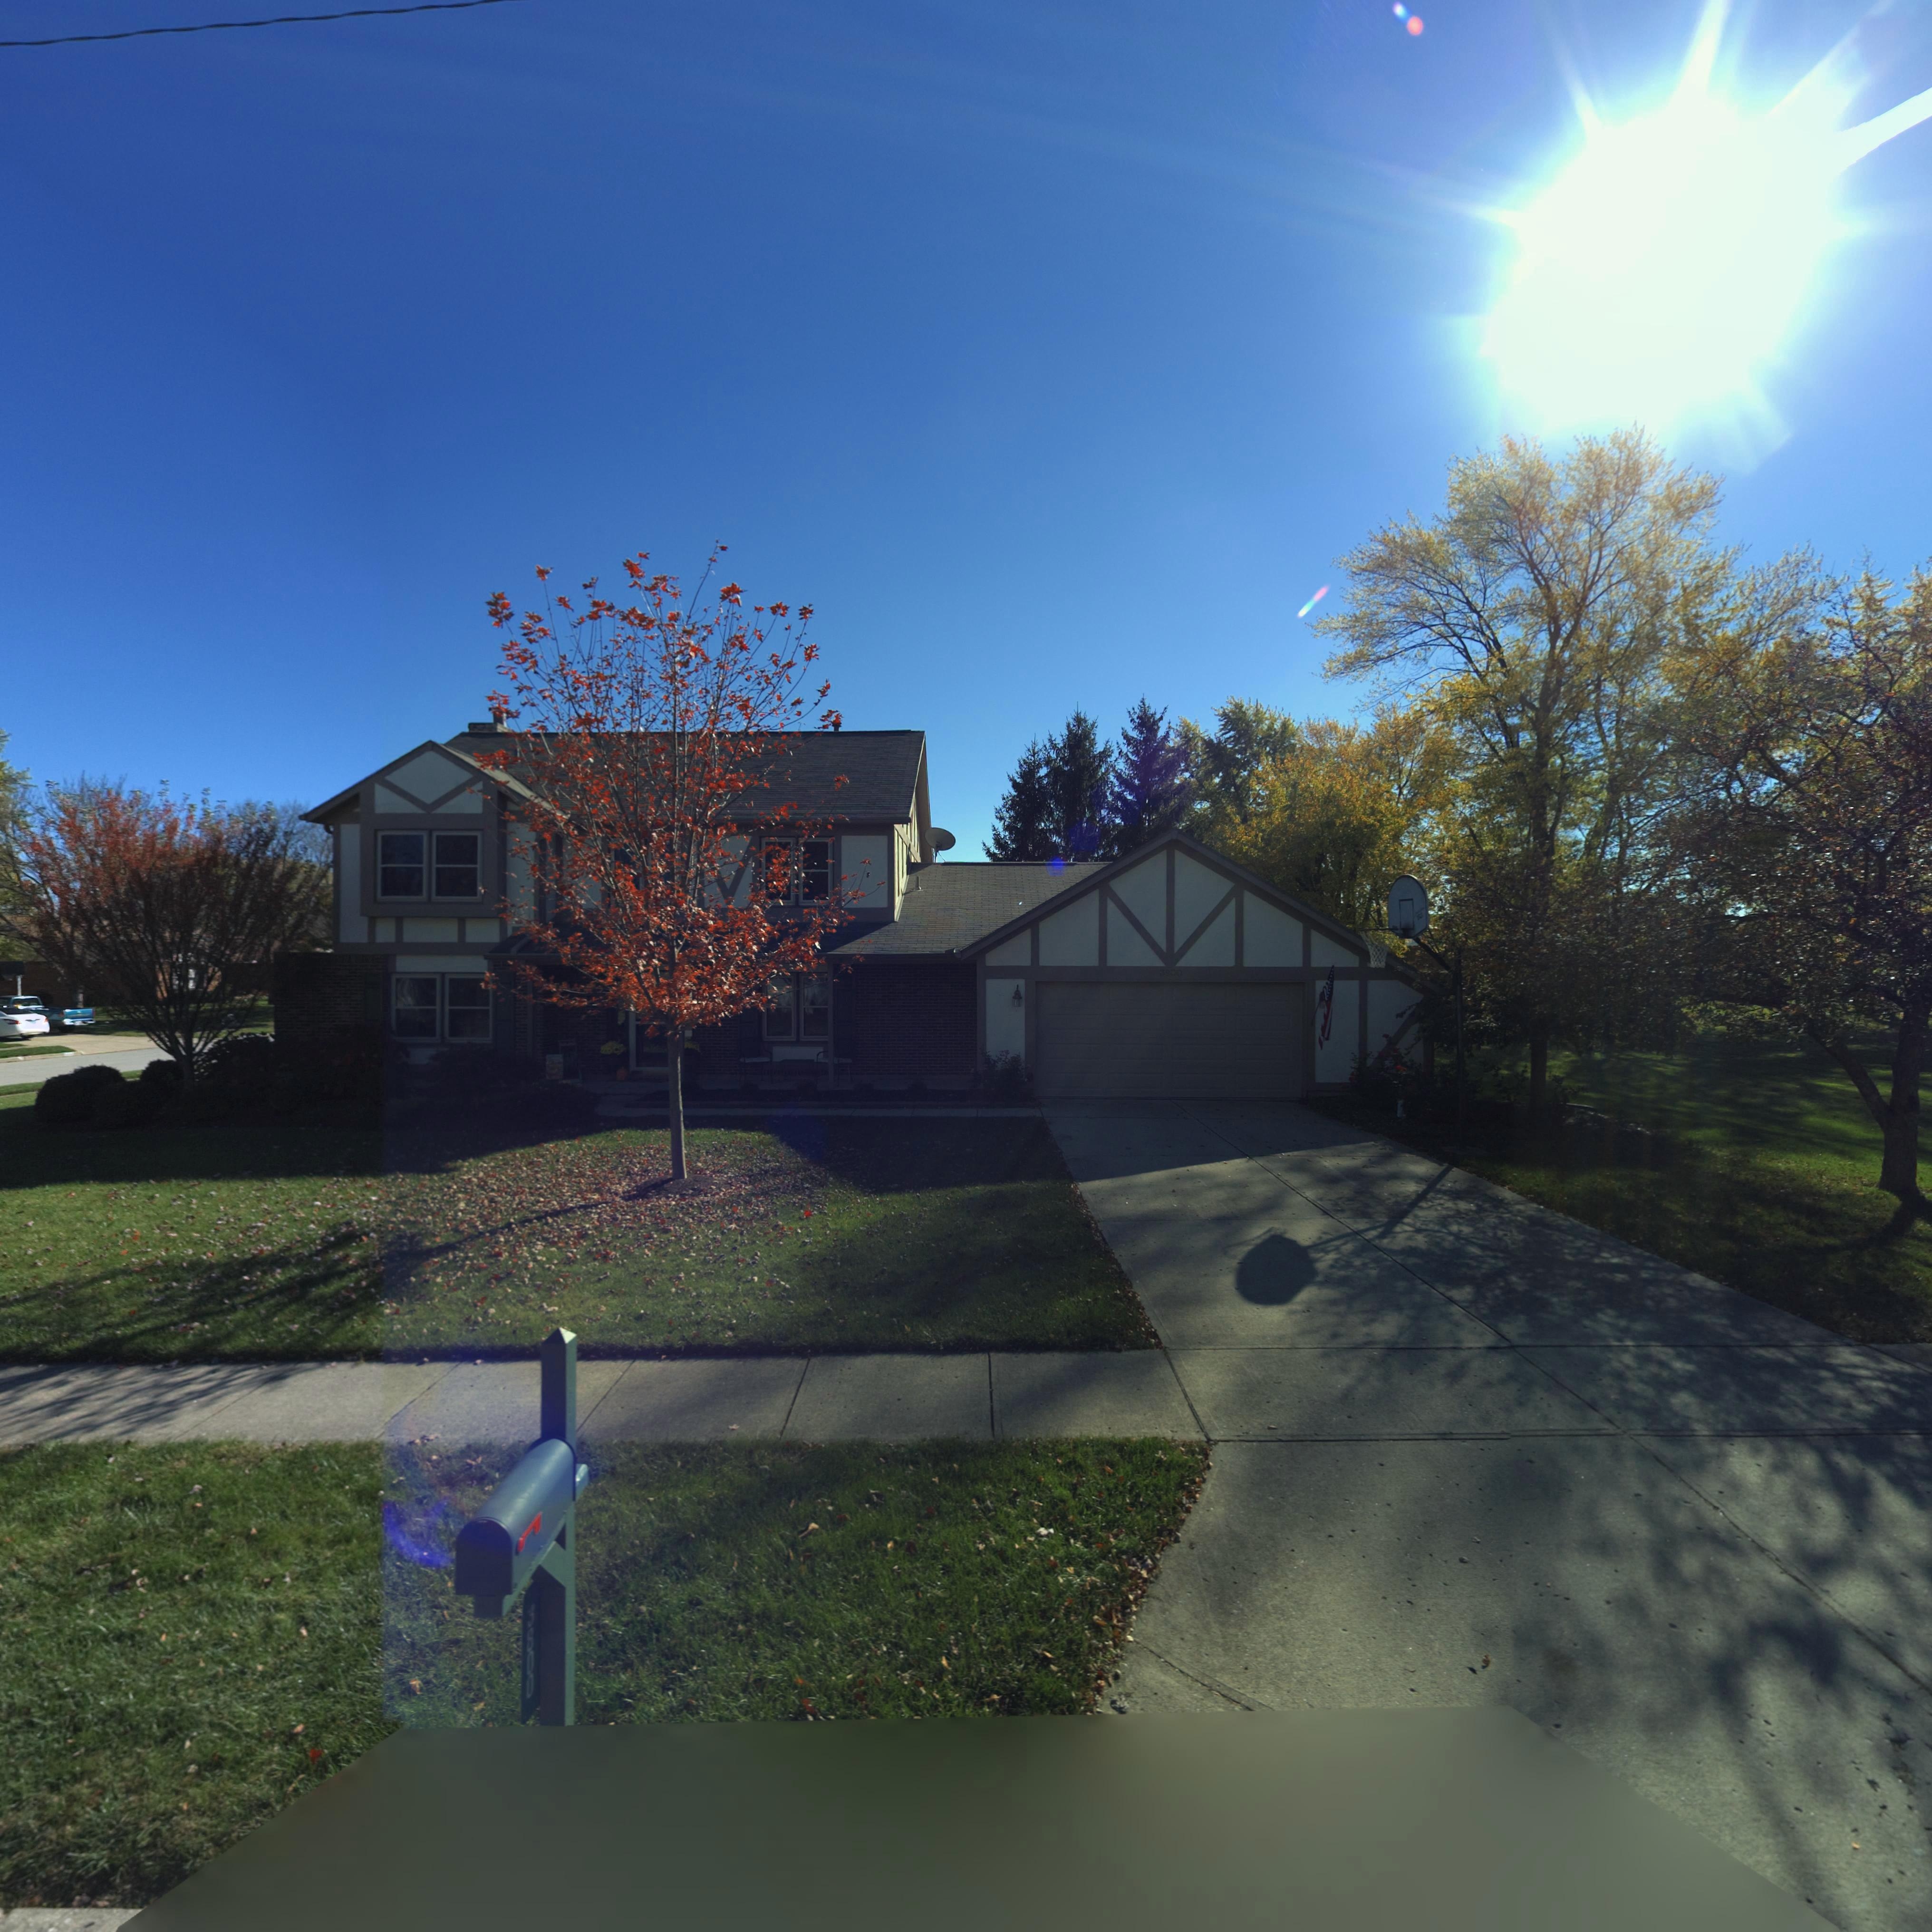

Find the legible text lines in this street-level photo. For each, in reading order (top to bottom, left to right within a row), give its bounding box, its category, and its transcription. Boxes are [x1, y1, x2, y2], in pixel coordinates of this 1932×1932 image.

[1159, 969, 1183, 977] StreetNumber: 3800
[525, 1600, 537, 1703] StreetNumber: 3800